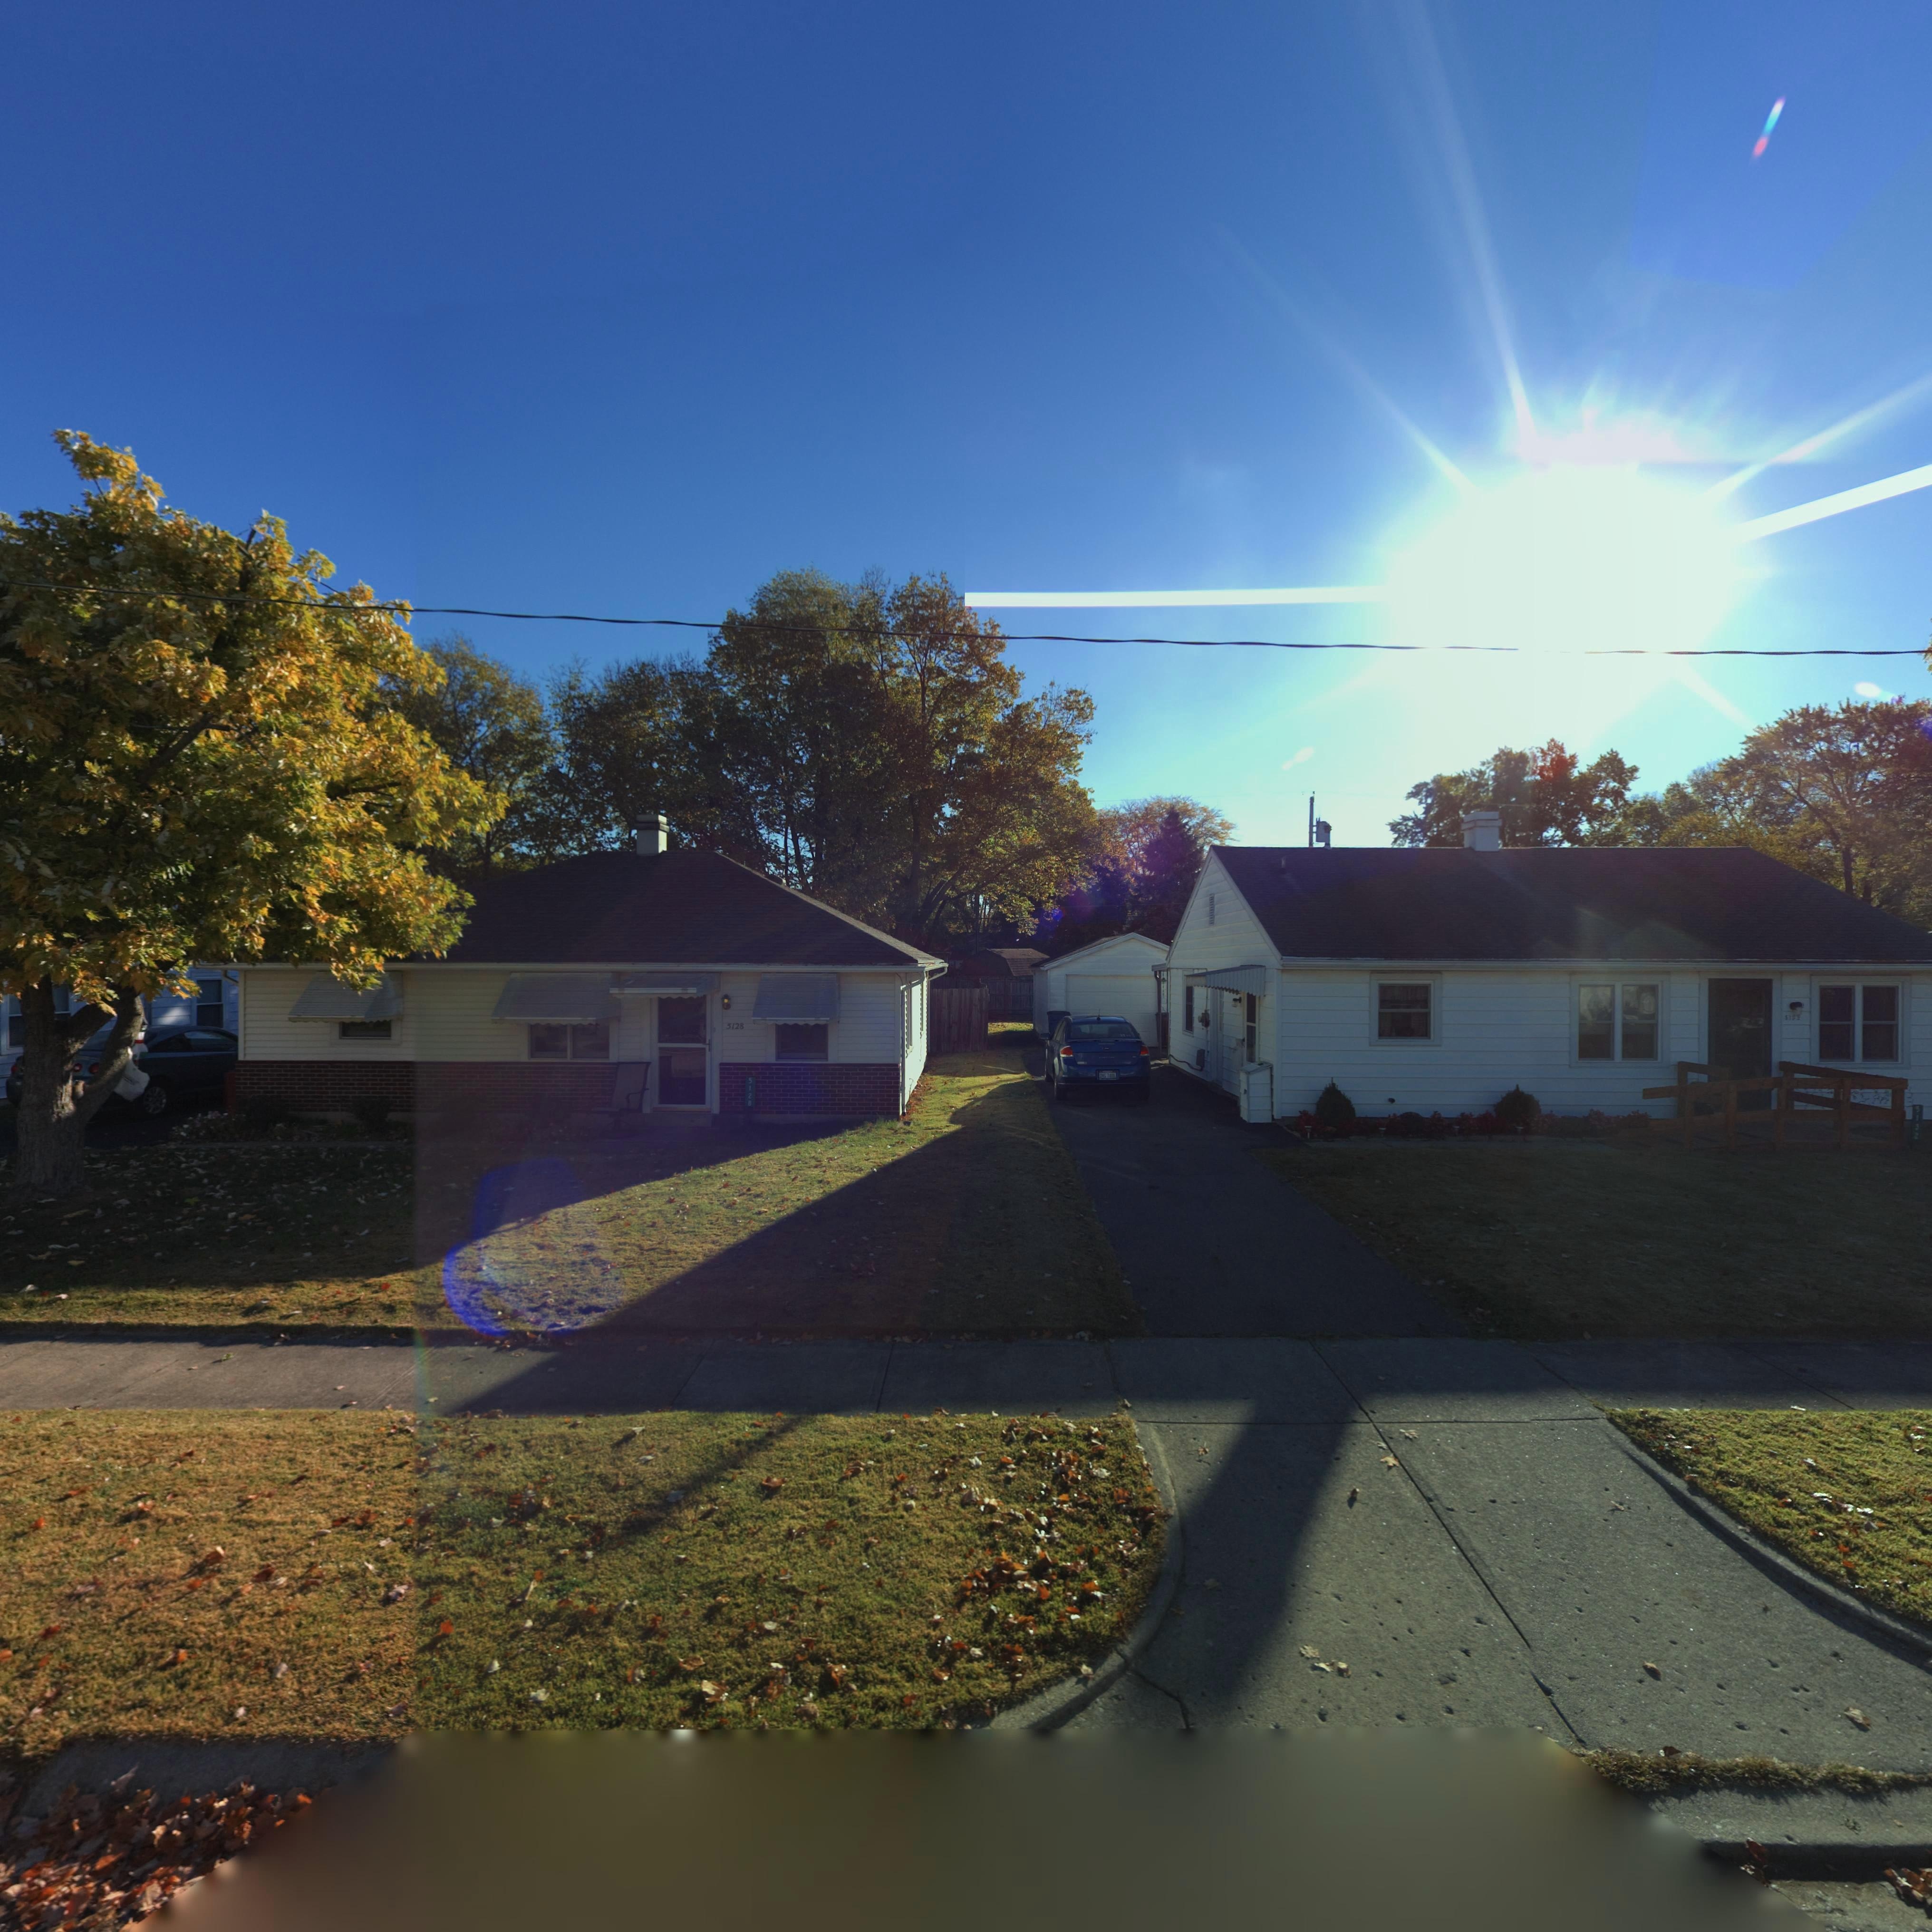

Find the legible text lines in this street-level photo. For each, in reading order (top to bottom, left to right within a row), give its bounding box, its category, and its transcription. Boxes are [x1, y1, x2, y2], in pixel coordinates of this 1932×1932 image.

[725, 1023, 744, 1030] StreetNumber: 5128
[1784, 1014, 1802, 1021] StreetNumber: 51**
[747, 1077, 753, 1107] StreetNumber: 5128
[1913, 1105, 1921, 1140] StreetNumber: 5132